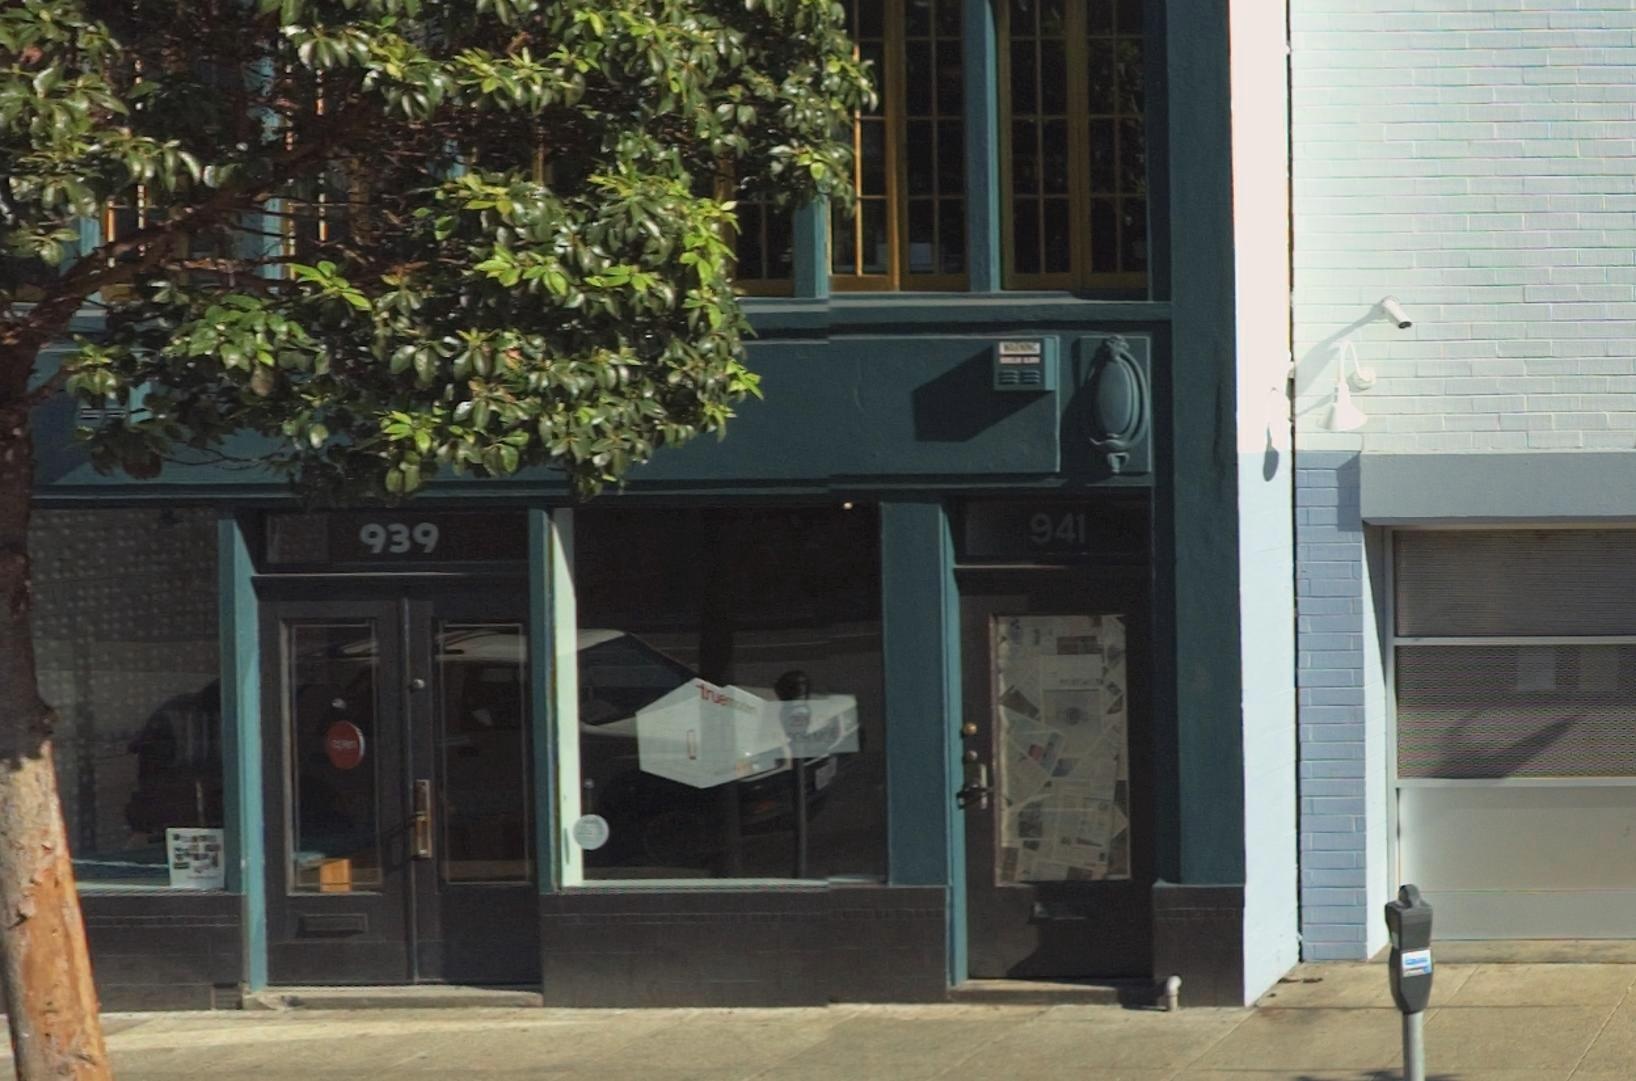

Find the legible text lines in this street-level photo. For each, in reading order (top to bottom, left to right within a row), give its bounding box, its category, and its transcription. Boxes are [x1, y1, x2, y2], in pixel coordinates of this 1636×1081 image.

[356, 520, 440, 555] StreetNumber: 939
[1029, 510, 1088, 547] StreetNumber: 941